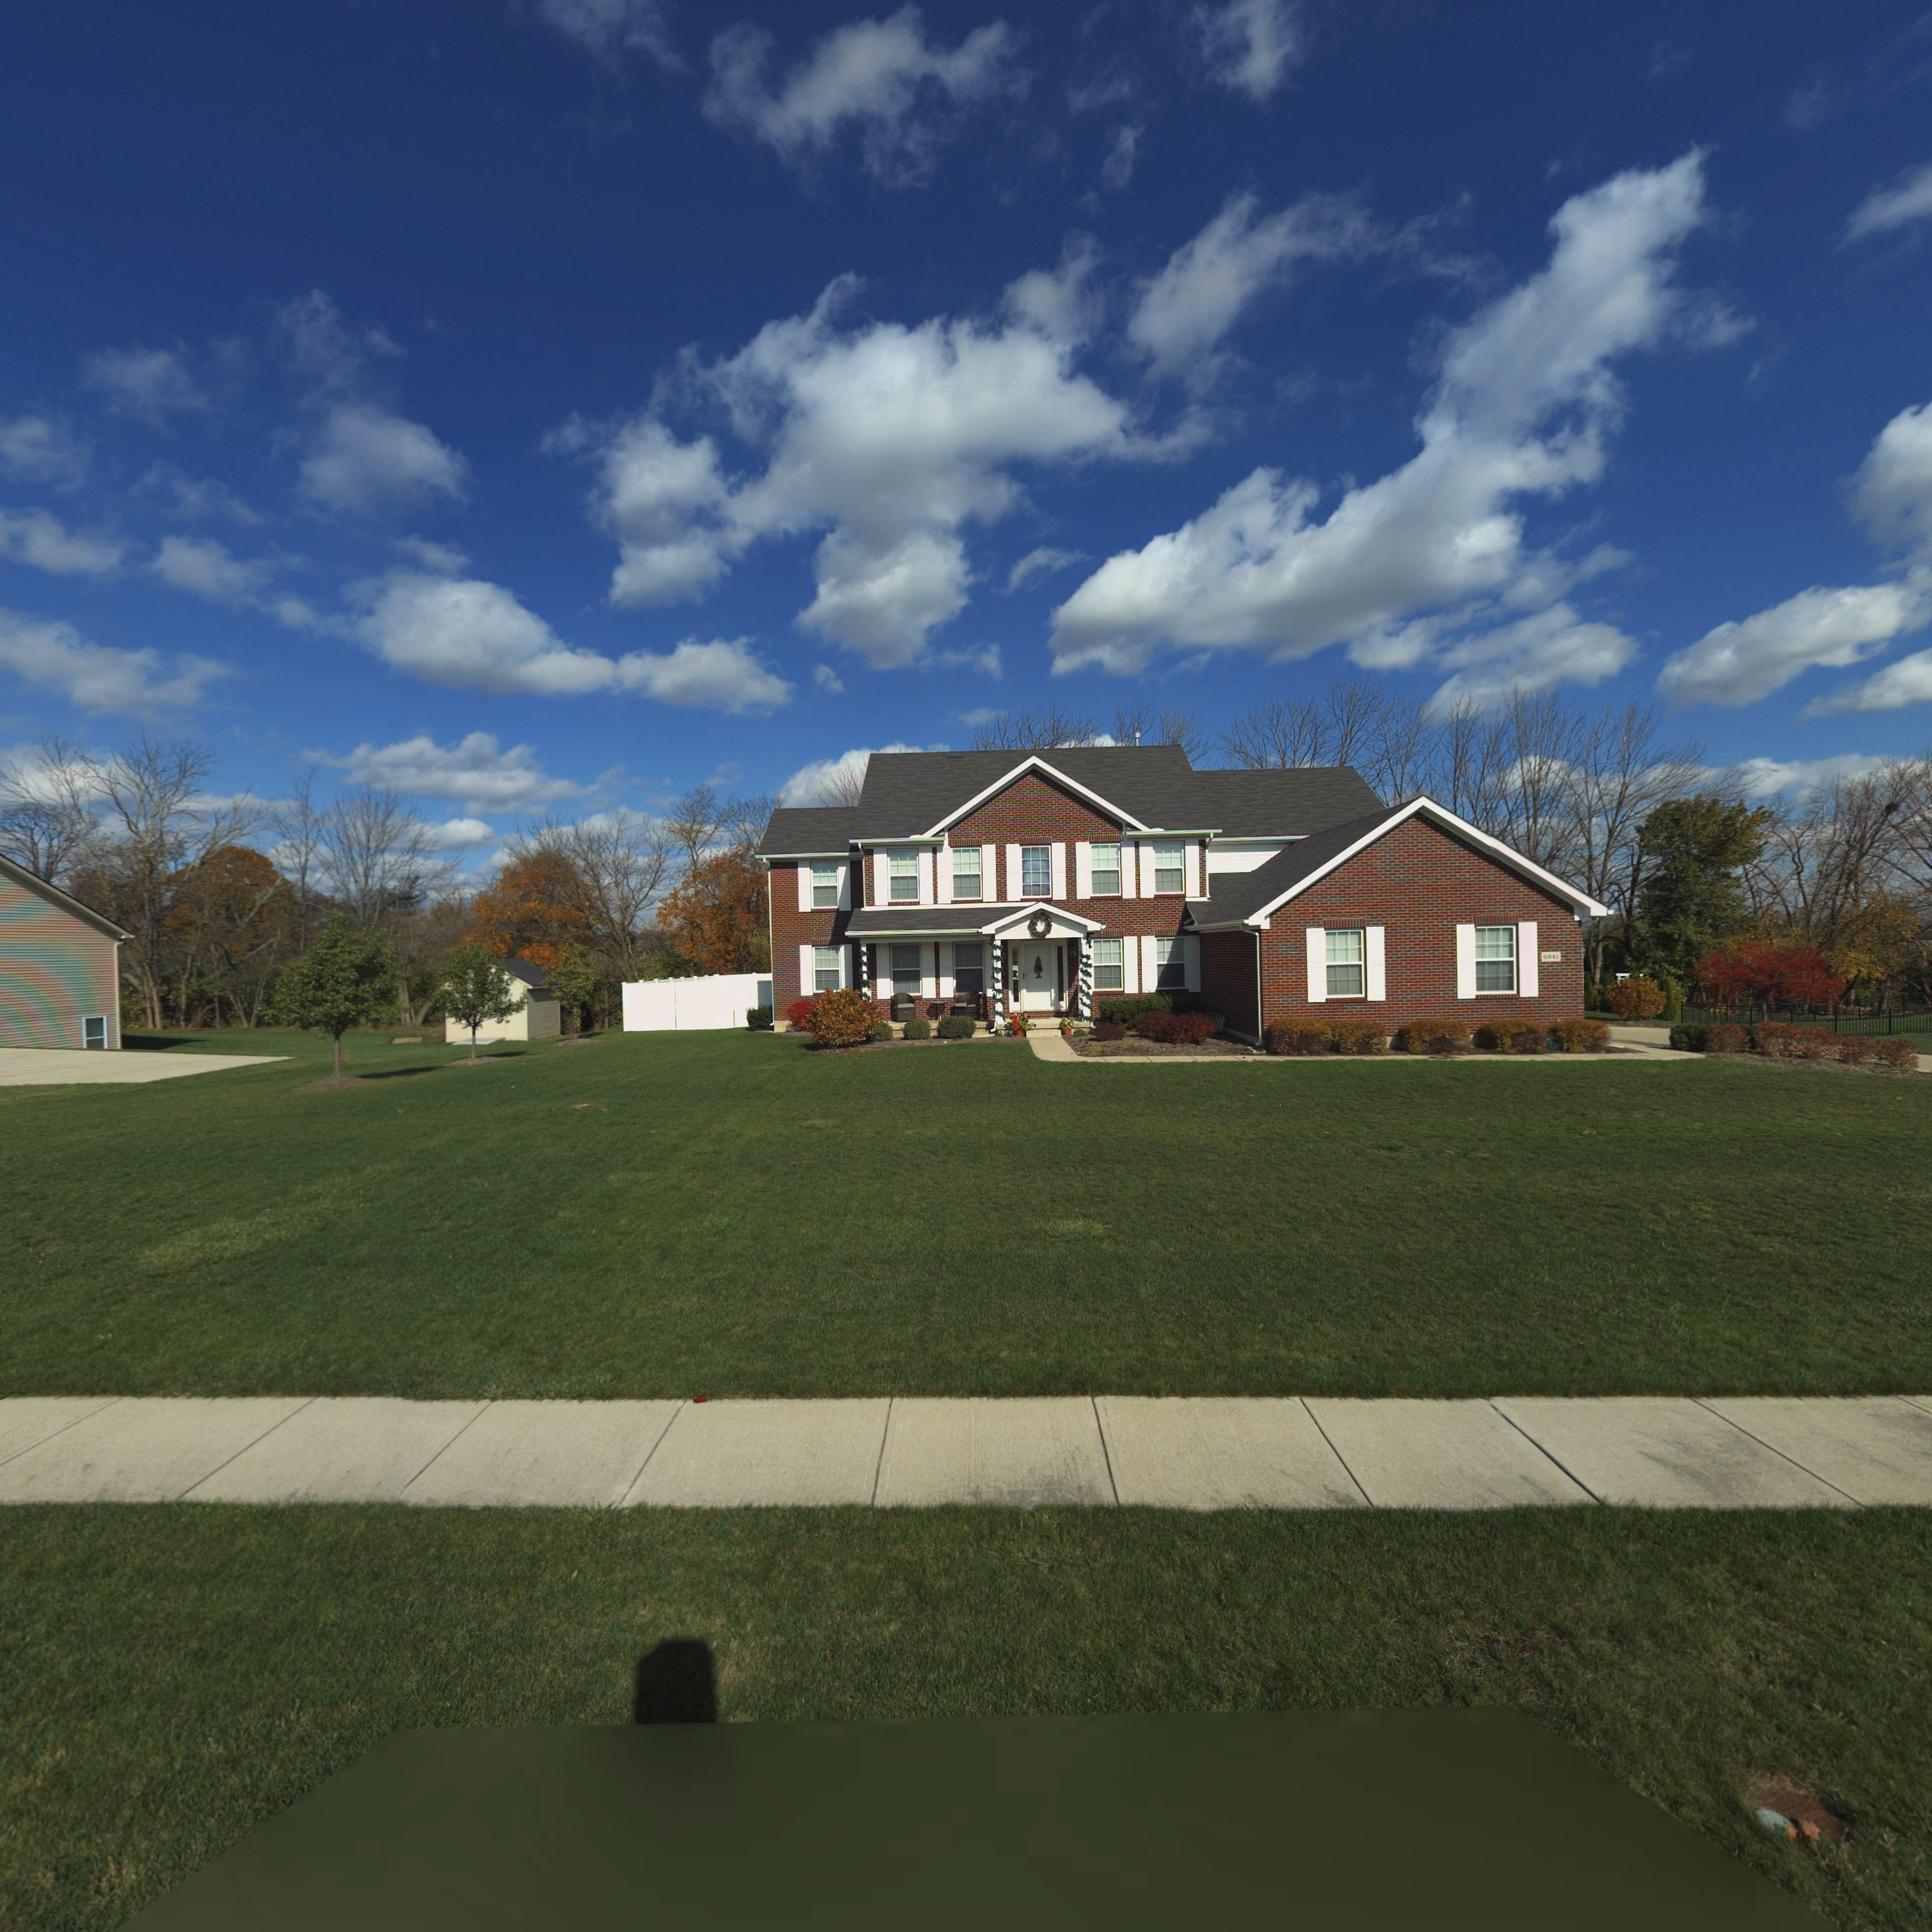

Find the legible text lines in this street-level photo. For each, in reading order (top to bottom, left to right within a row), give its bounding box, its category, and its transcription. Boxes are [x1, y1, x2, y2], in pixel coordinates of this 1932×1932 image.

[1543, 953, 1559, 960] StreetNumber: 6941